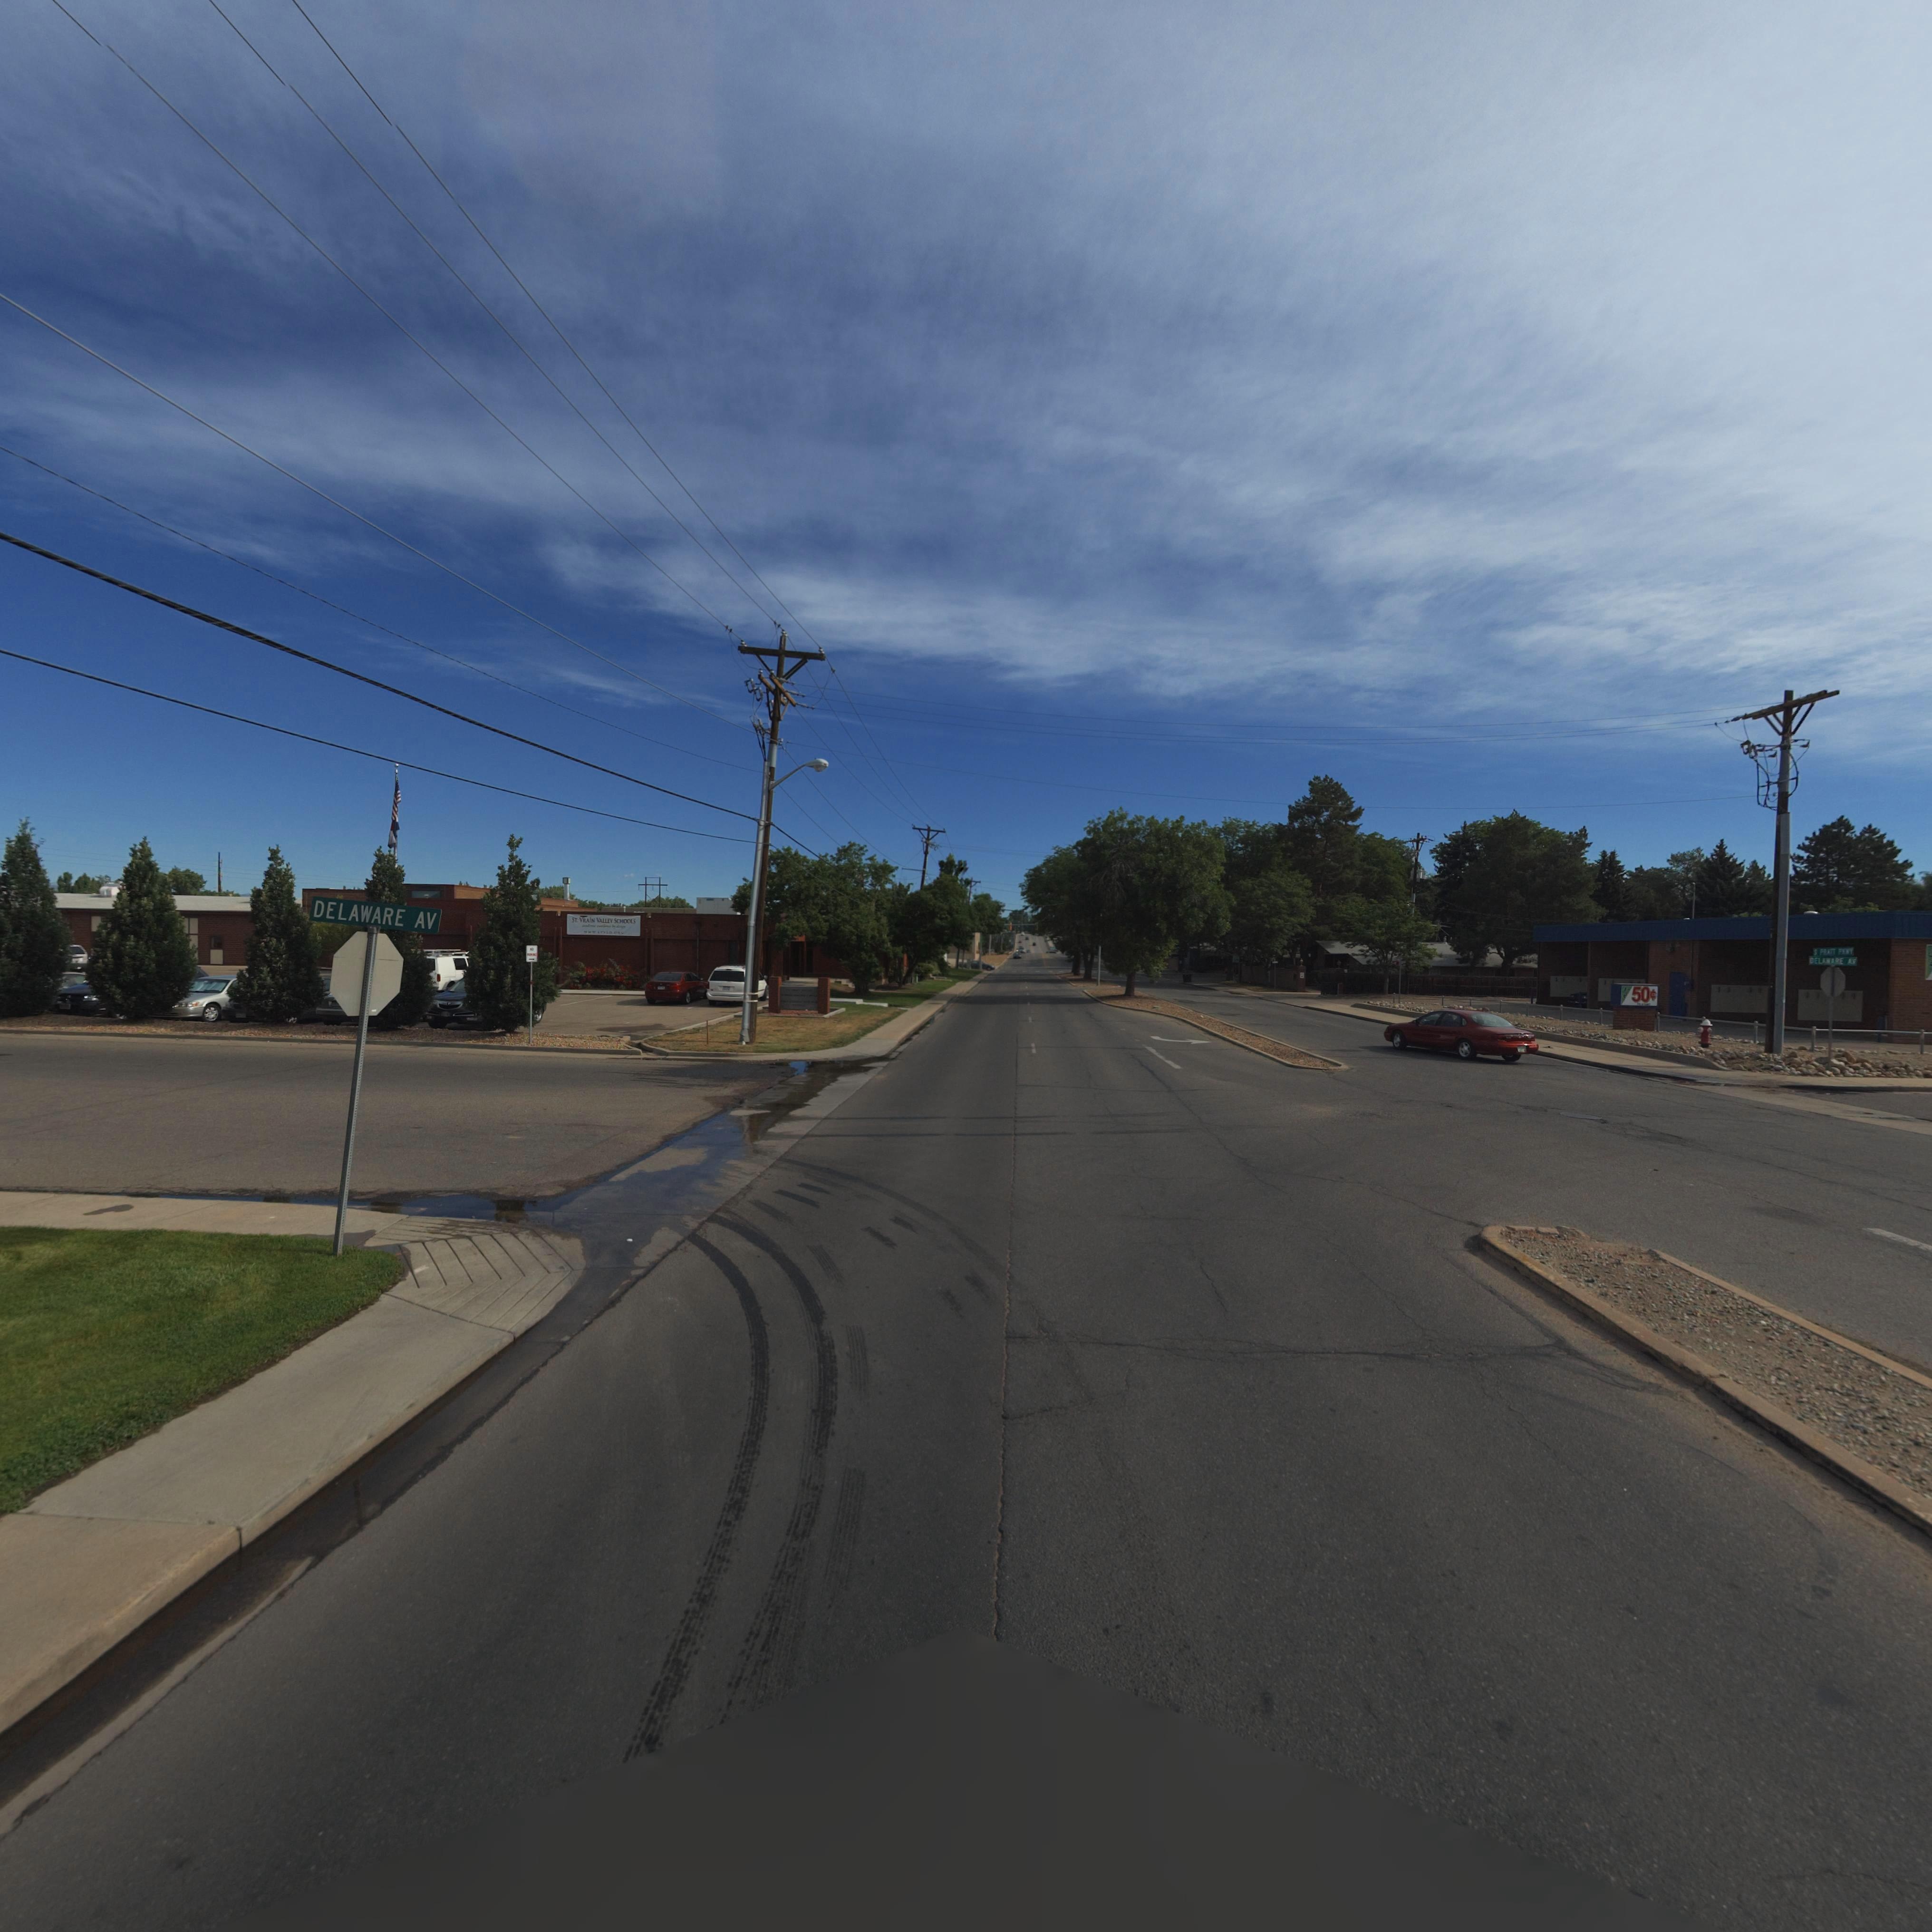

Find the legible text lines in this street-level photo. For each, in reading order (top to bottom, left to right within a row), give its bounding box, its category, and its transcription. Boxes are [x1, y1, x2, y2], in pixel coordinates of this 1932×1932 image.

[312, 899, 437, 929] StreetName: DELAWARE AV
[571, 917, 636, 924] BusinessName: ST. VRAIN VALLEY SCHOOLS
[1813, 948, 1853, 956] StreetName: S P**TT P***
[1809, 957, 1856, 965] StreetName: DELAWARE AV